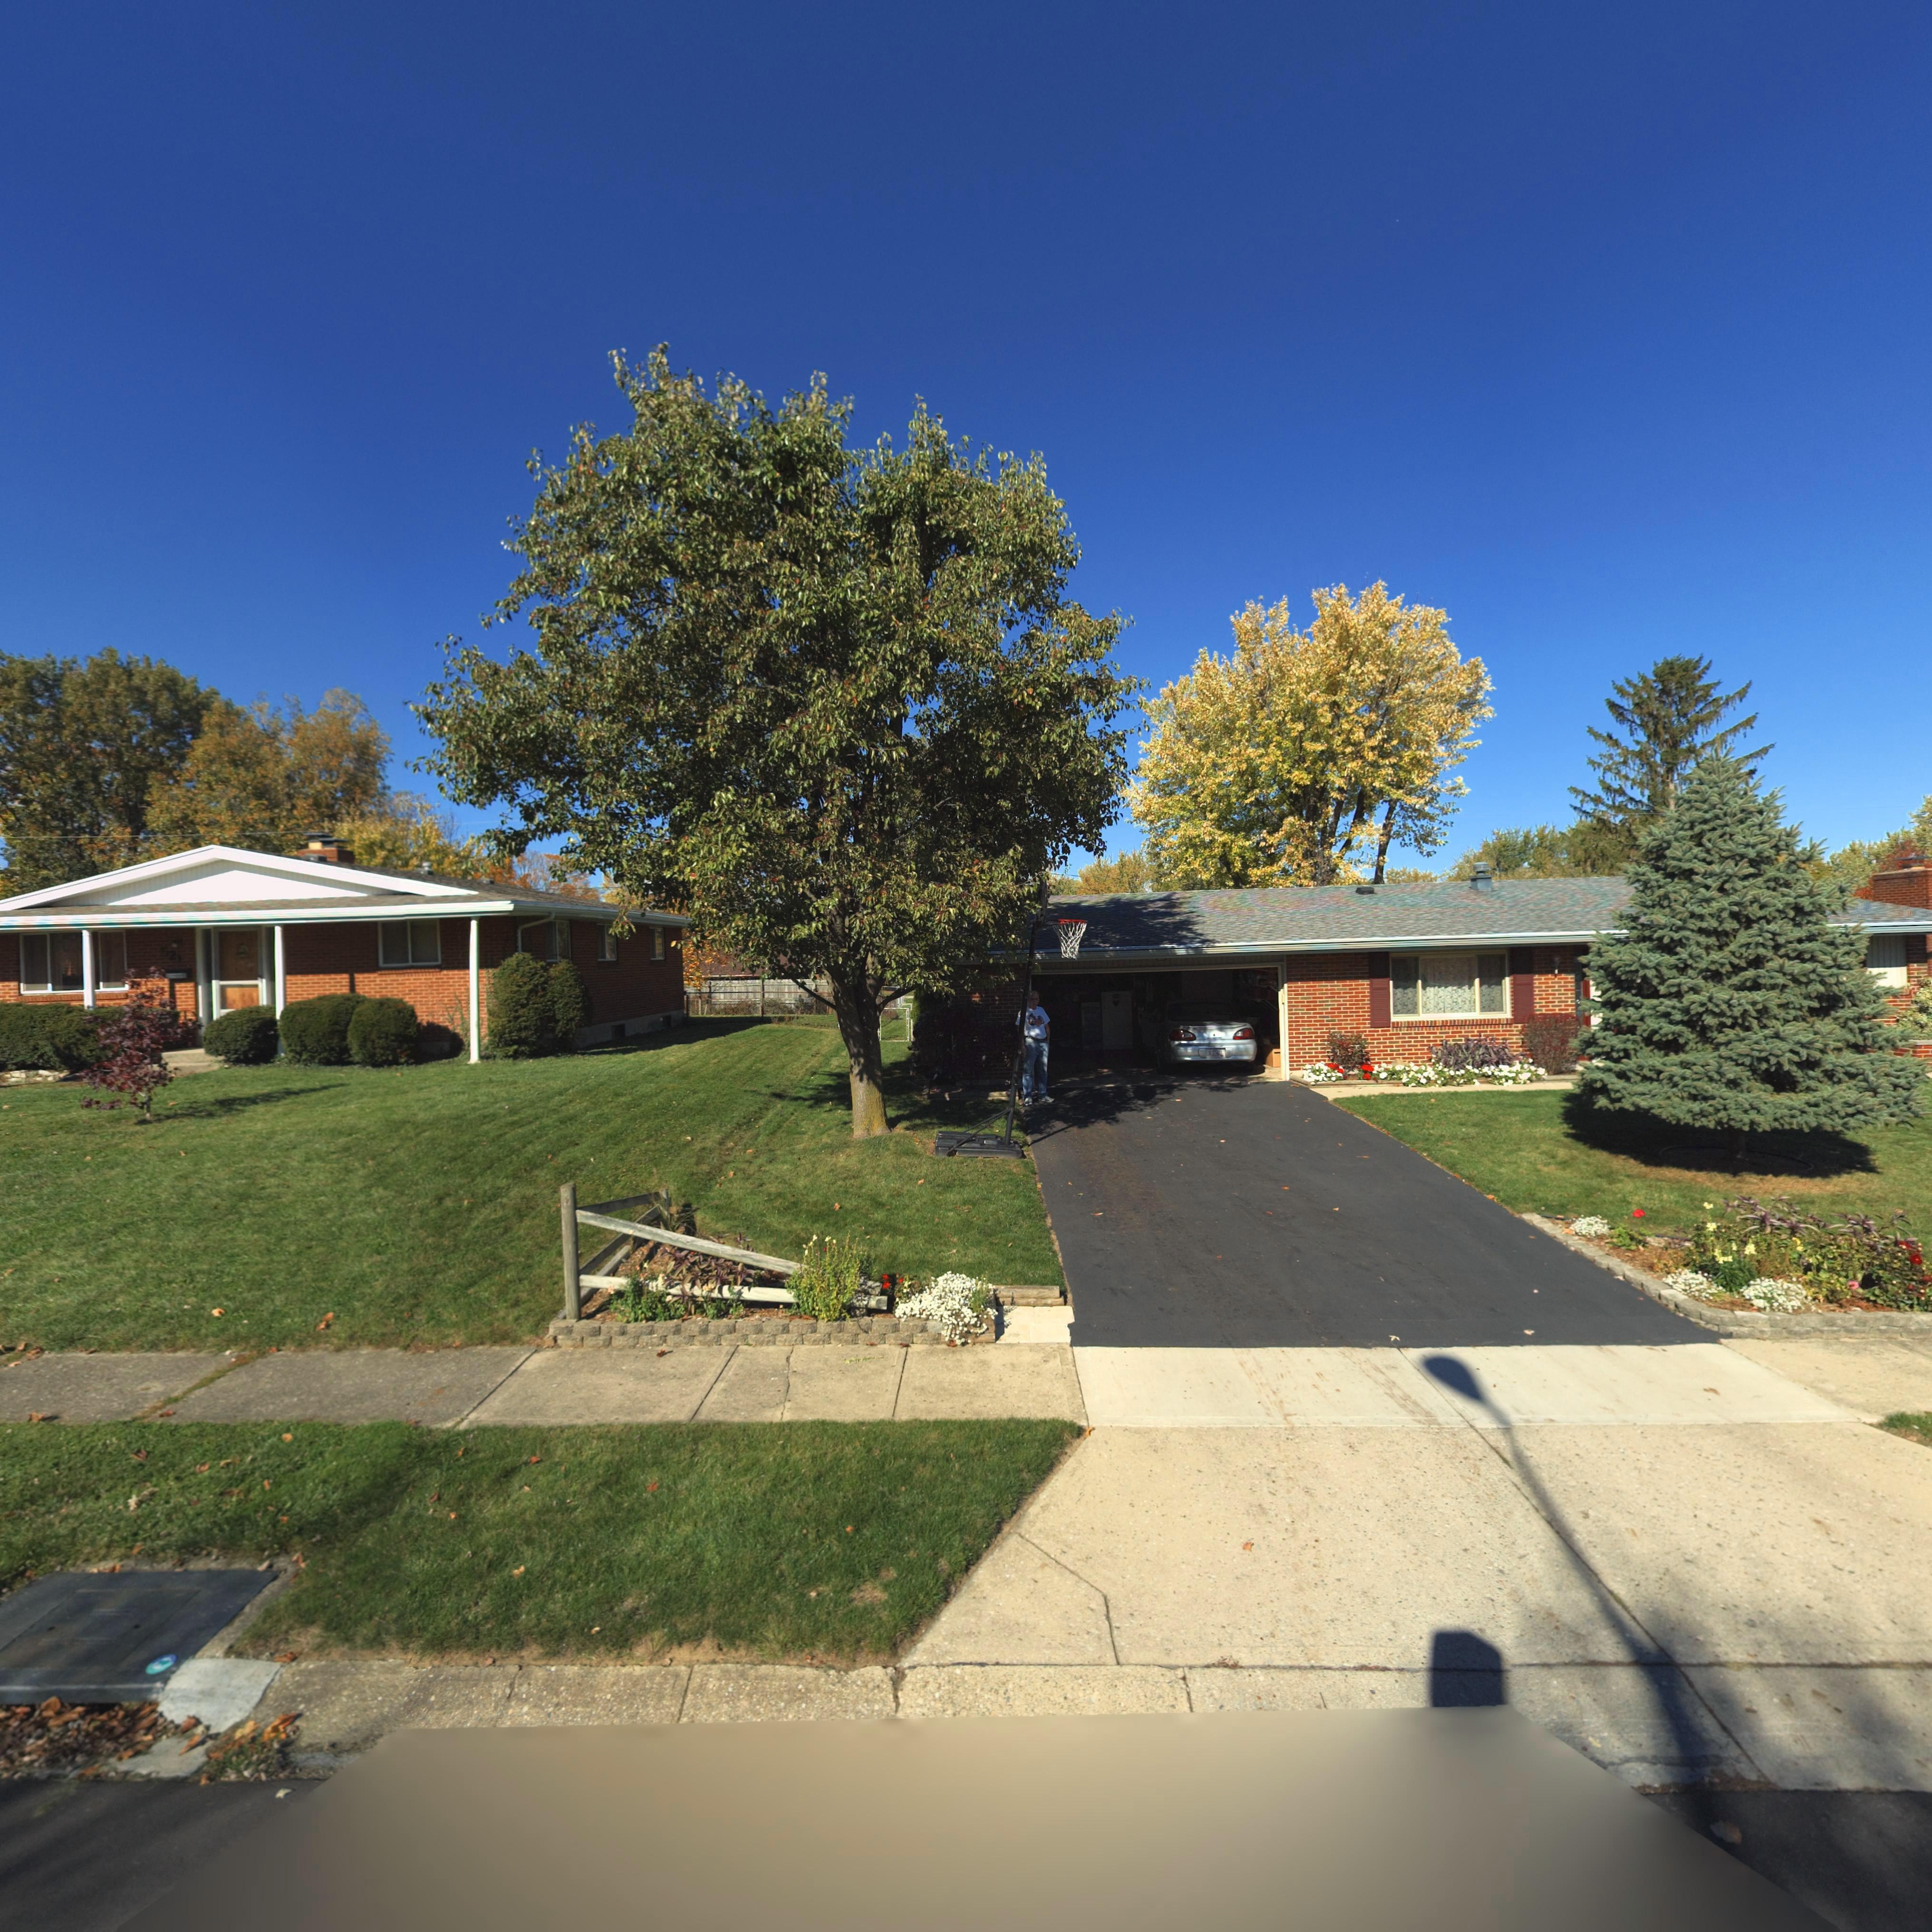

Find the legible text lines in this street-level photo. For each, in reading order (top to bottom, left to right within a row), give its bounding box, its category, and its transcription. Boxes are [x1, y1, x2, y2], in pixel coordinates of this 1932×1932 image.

[159, 946, 183, 964] StreetNumber: 521